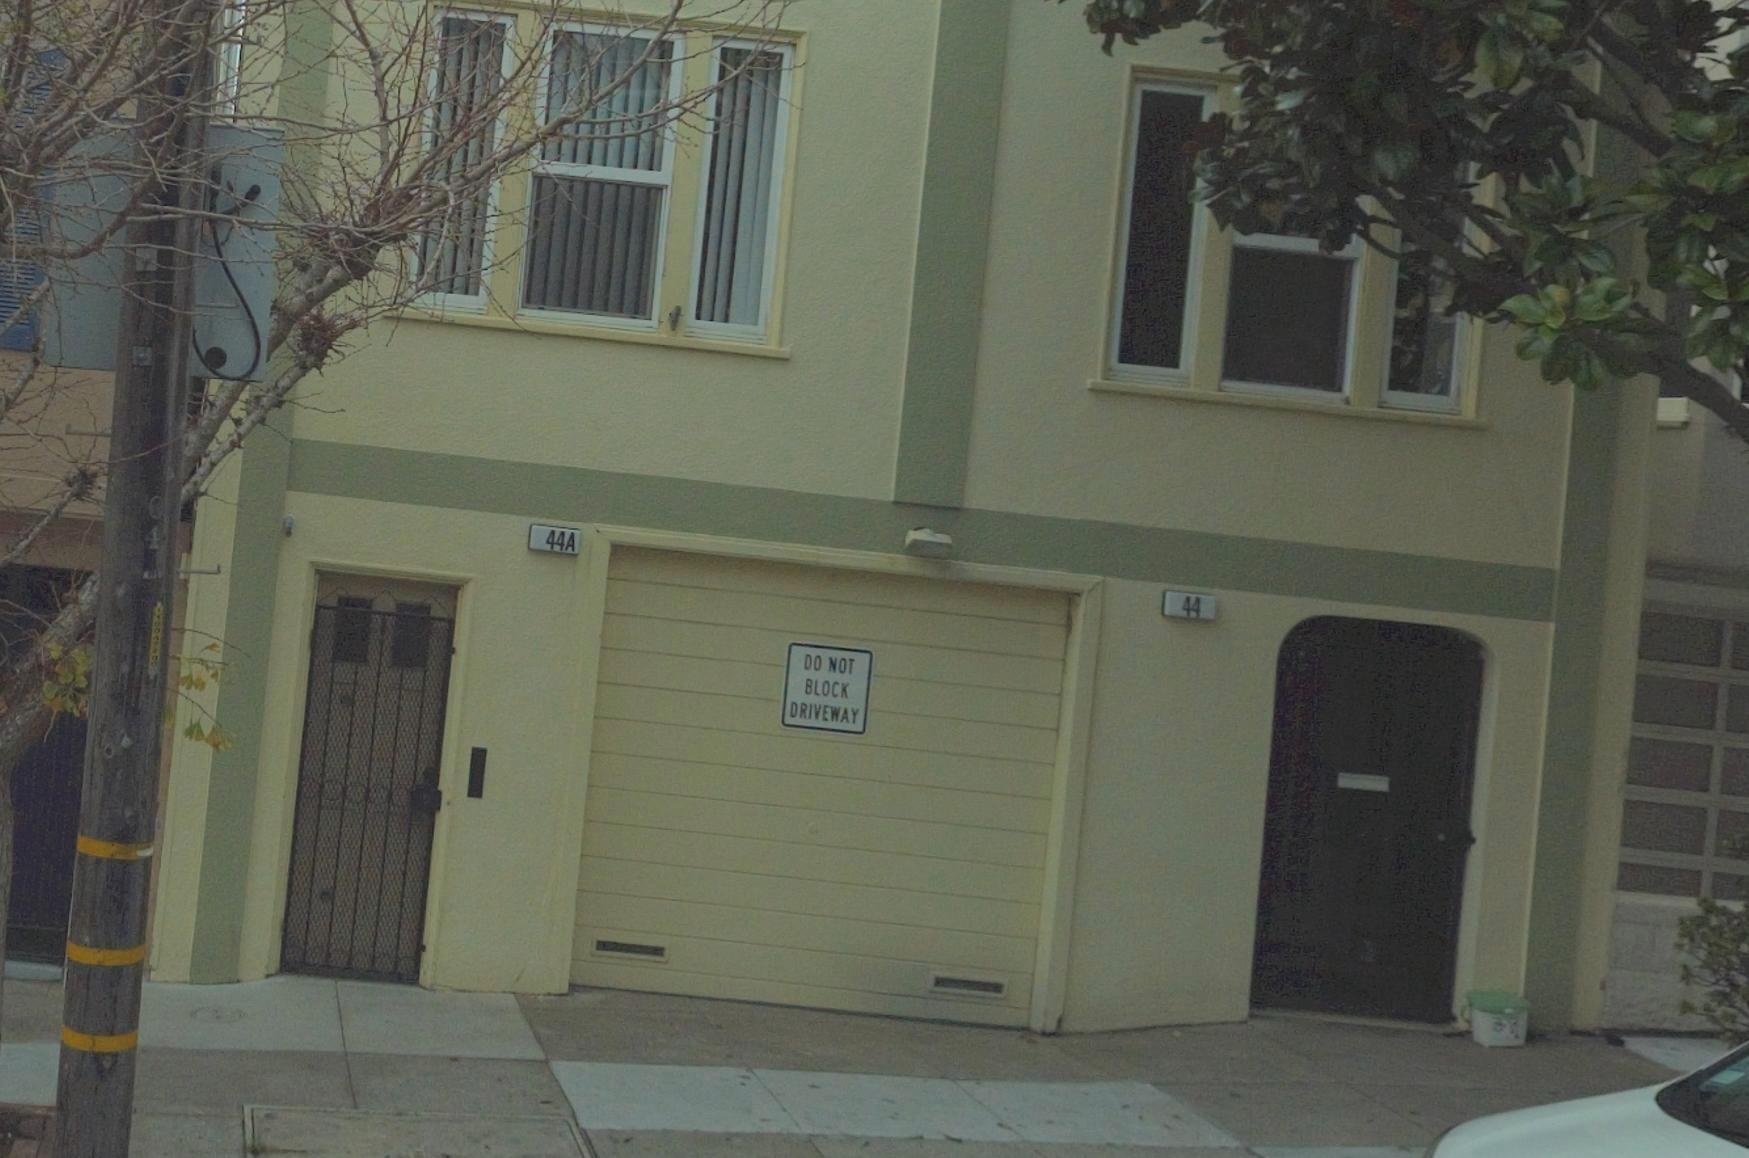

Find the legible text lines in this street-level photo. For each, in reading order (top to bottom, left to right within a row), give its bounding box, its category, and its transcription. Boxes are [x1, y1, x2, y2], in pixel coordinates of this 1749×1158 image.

[543, 528, 578, 553] StreetNumber: 44A
[1181, 594, 1203, 618] StreetNumber: 44
[803, 652, 857, 676] None: DO NOT
[804, 677, 851, 700] None: BLOCK
[789, 700, 862, 726] None: DRIVEWAY